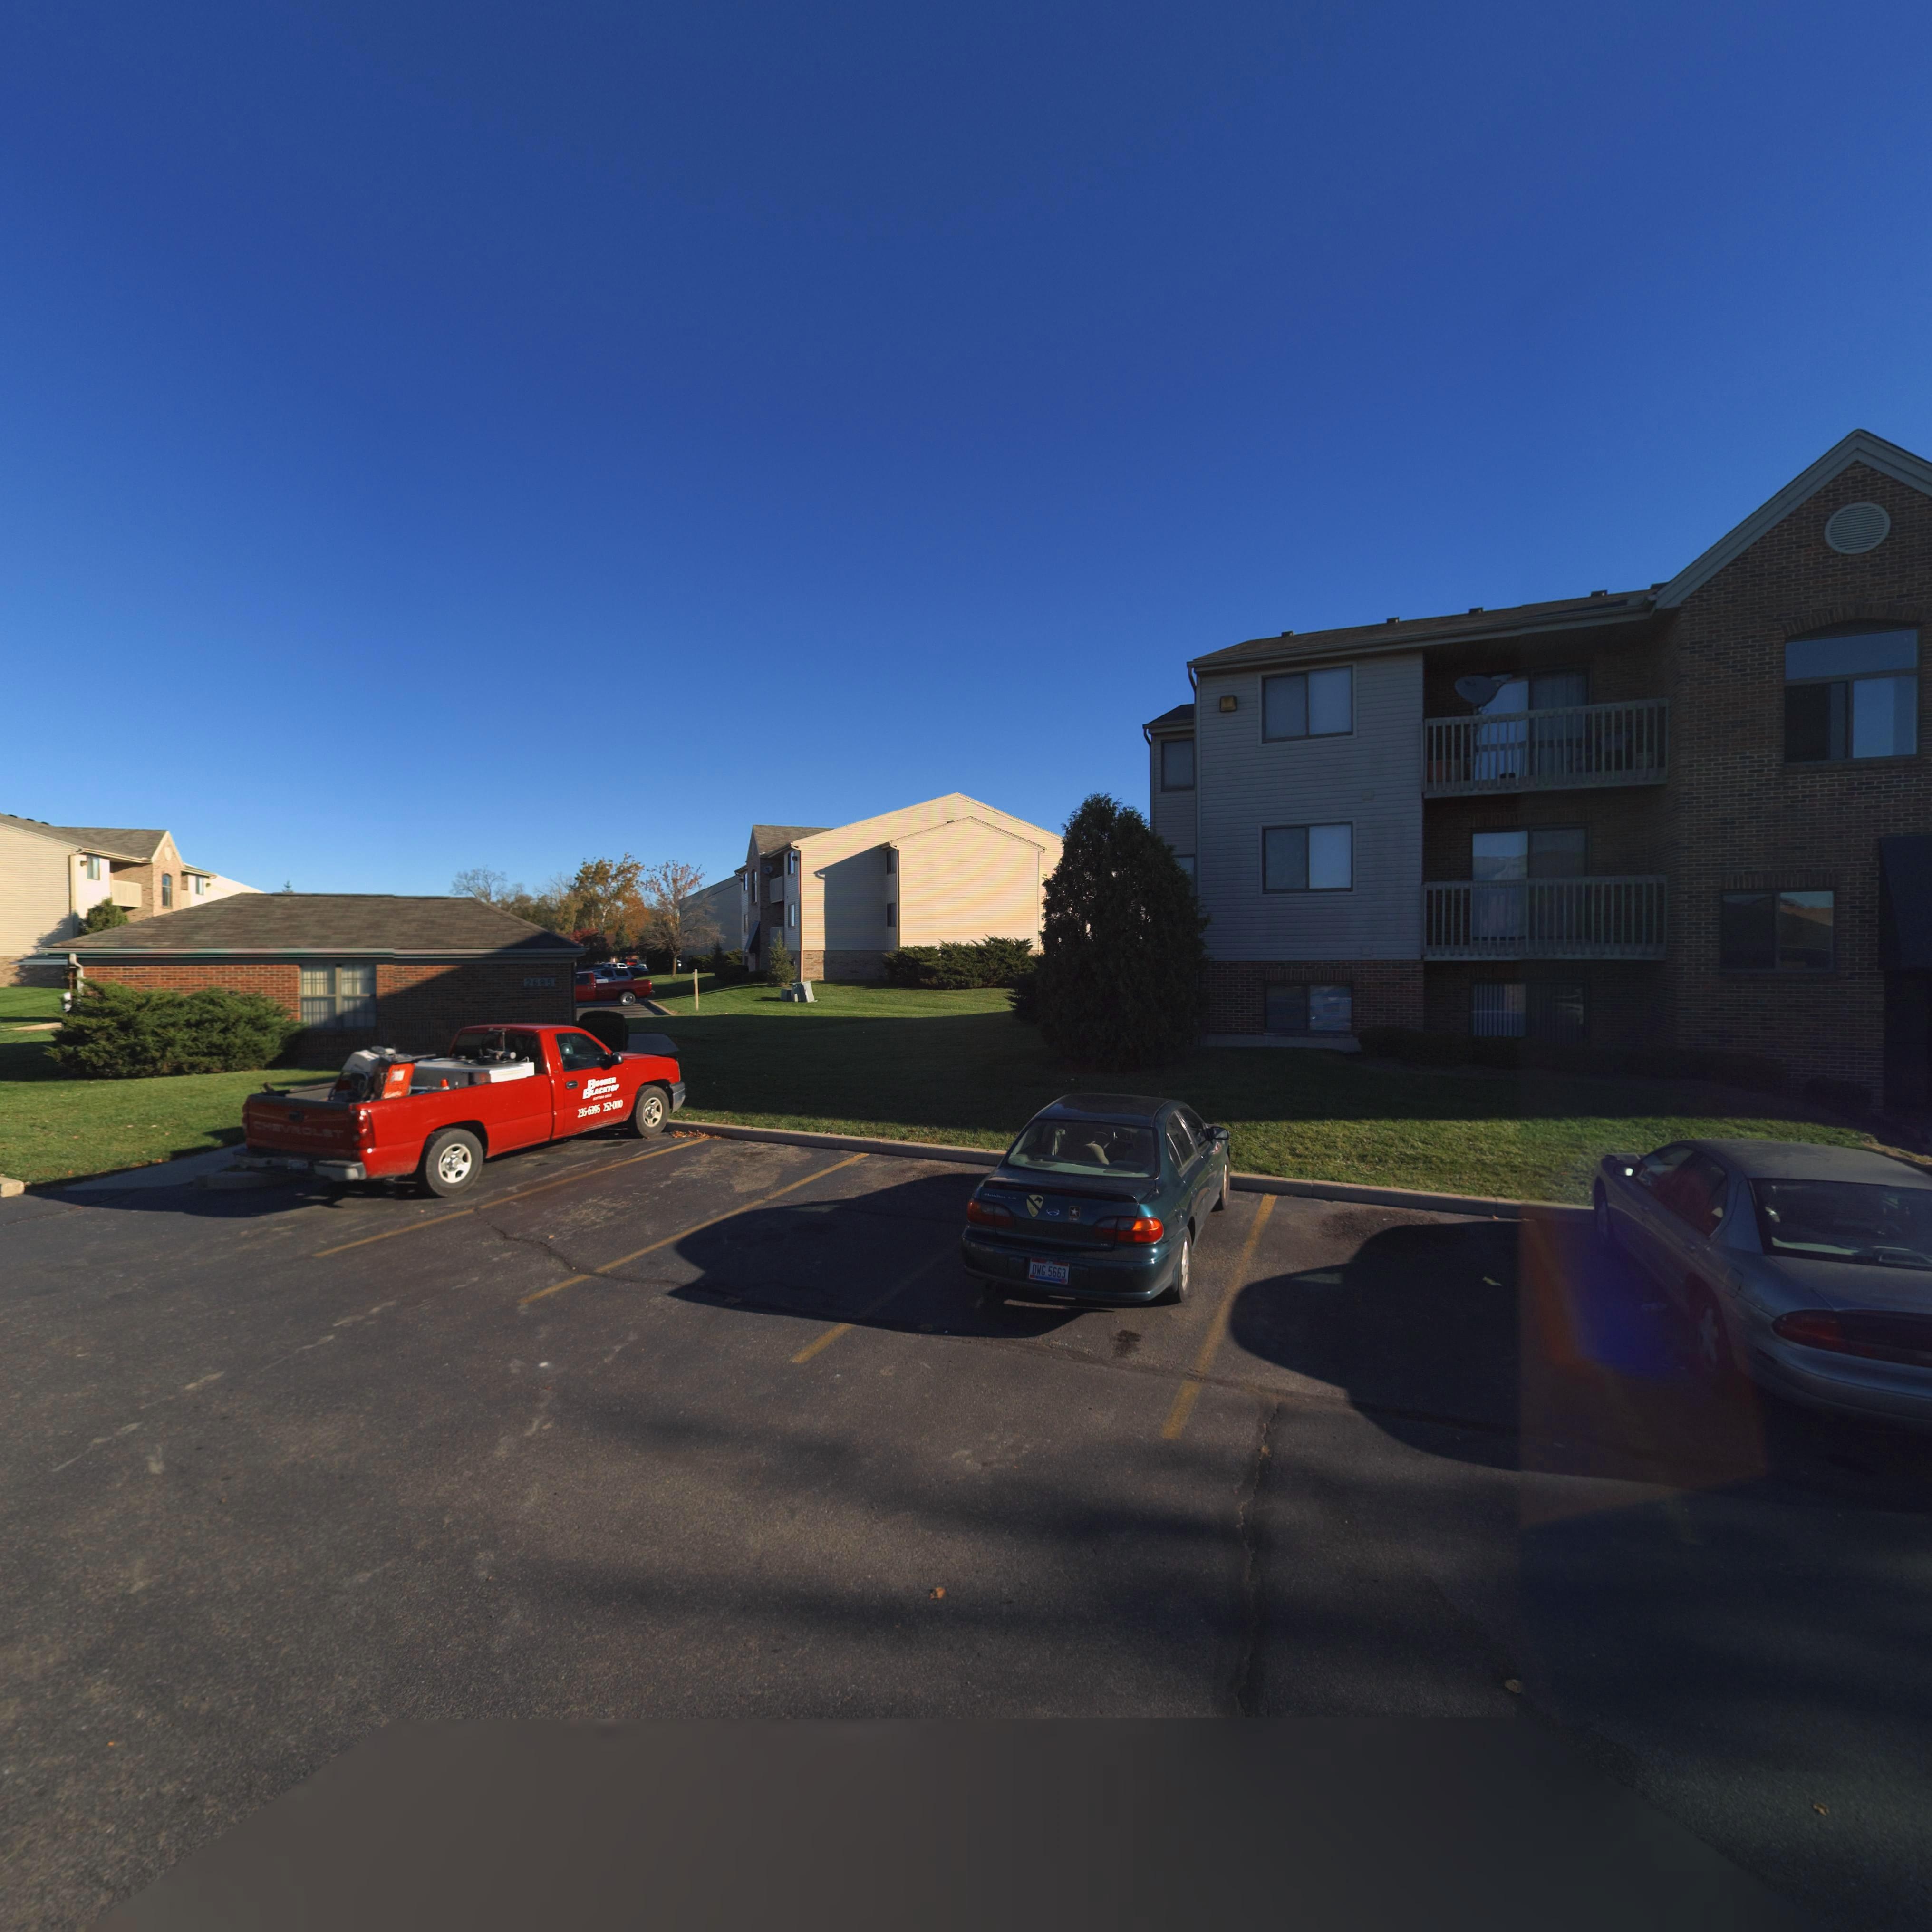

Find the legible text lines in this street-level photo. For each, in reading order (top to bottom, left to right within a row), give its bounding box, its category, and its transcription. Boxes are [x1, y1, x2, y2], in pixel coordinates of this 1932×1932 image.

[526, 978, 552, 987] StreetNumber: 2685